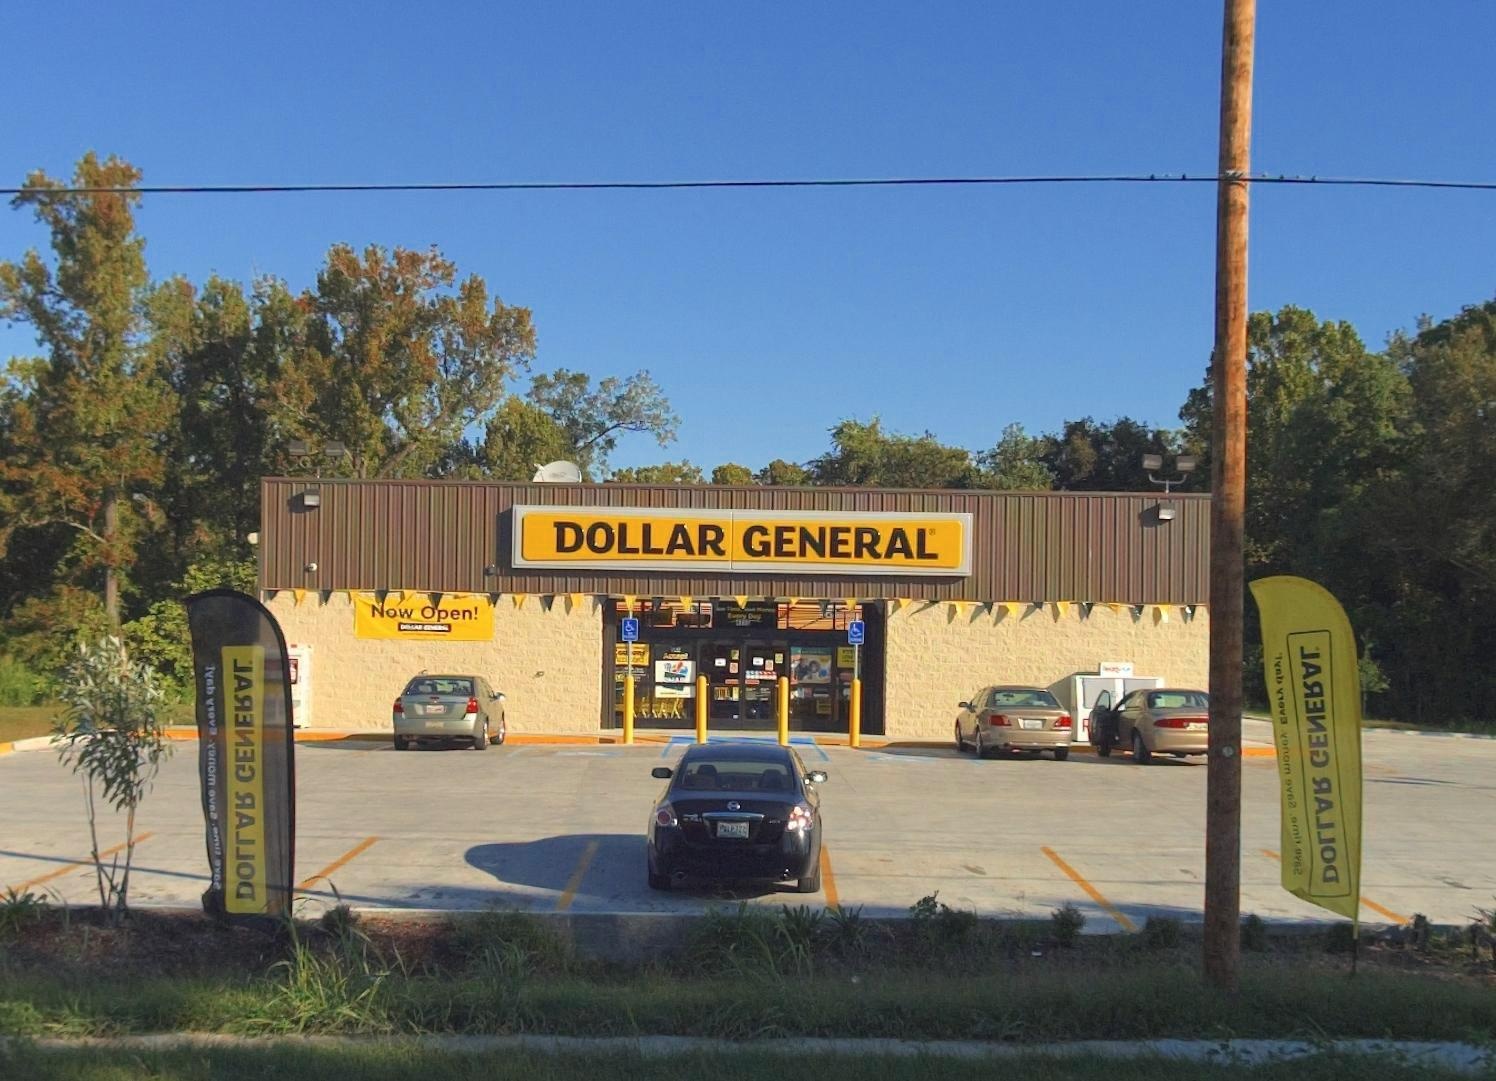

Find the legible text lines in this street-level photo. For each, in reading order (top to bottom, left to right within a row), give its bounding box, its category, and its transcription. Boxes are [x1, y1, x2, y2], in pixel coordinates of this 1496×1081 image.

[369, 601, 480, 624] None: Now Open!
[550, 517, 942, 563] BusinessName: DOLLAR GENERAL
[230, 654, 258, 905] BusinessName: *A***** *A**O*
[1295, 641, 1343, 888] BusinessName: *A***** *A**O*